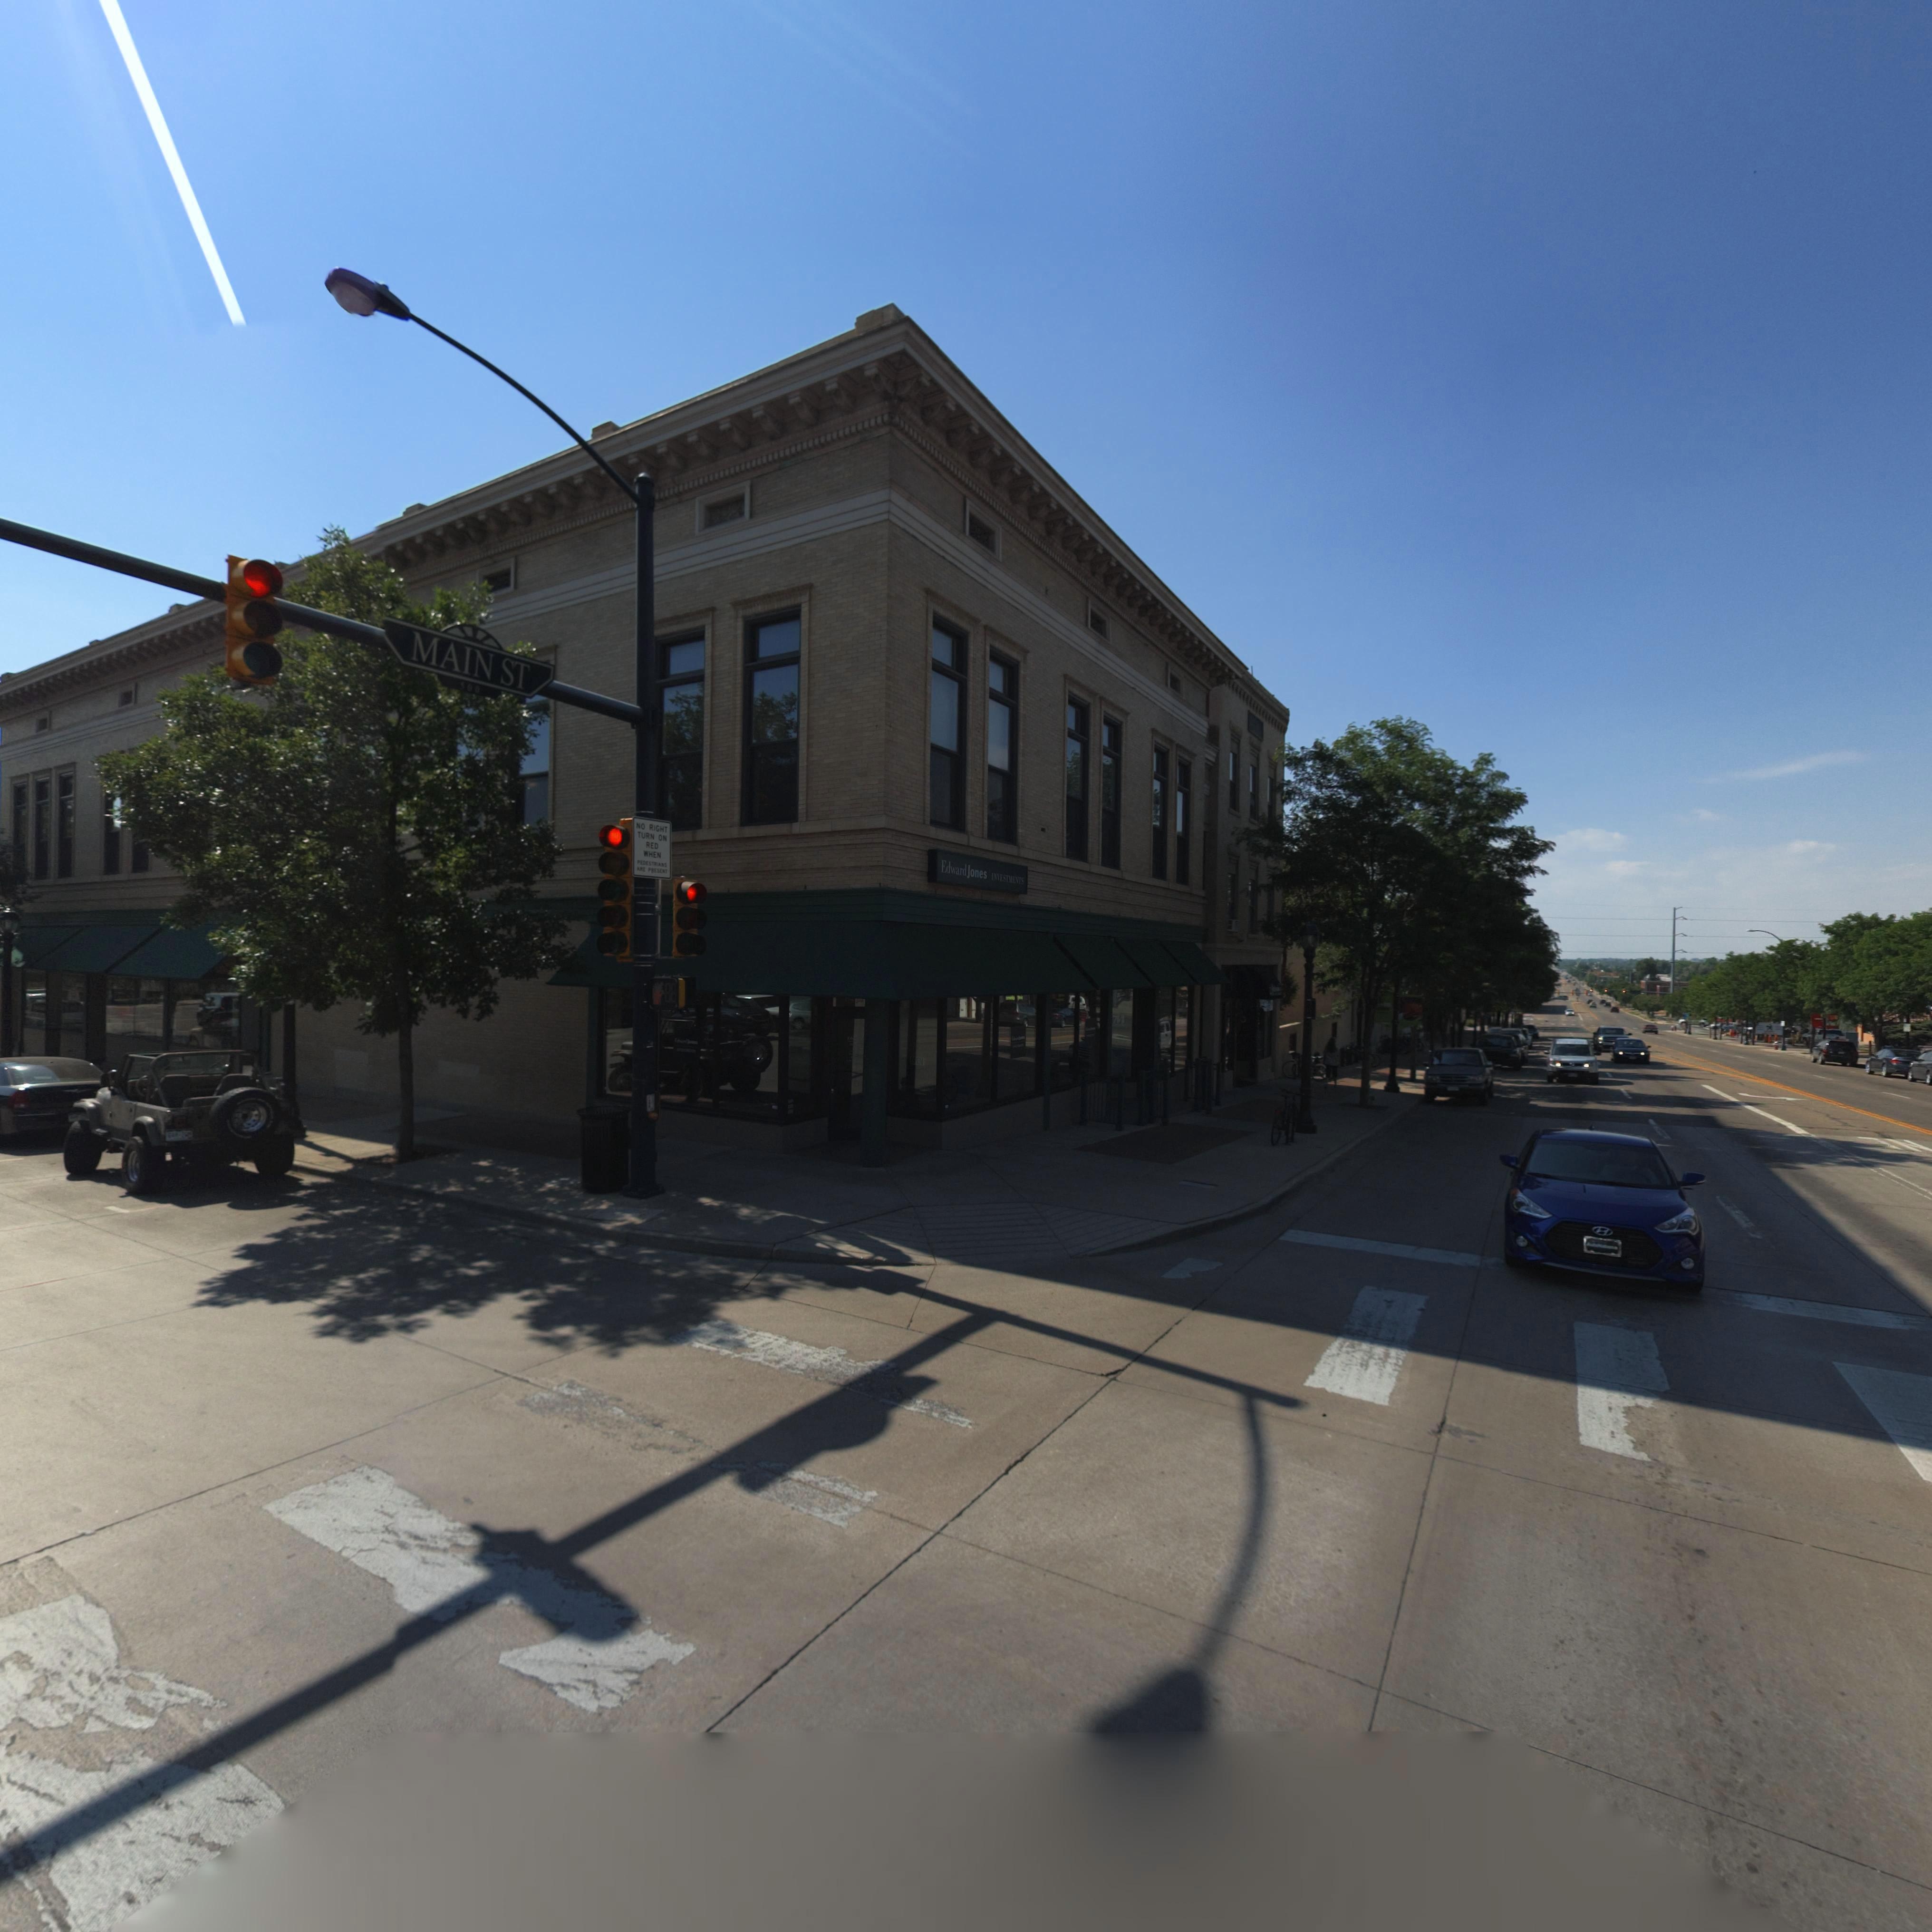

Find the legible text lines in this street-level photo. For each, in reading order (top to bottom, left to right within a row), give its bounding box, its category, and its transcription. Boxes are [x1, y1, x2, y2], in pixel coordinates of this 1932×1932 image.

[410, 629, 534, 692] StreetName: MAIN ST
[458, 679, 481, 695] StreetNumberRange: 500
[940, 858, 1024, 885] BusinessName: Edward Jones INVESTMENTS